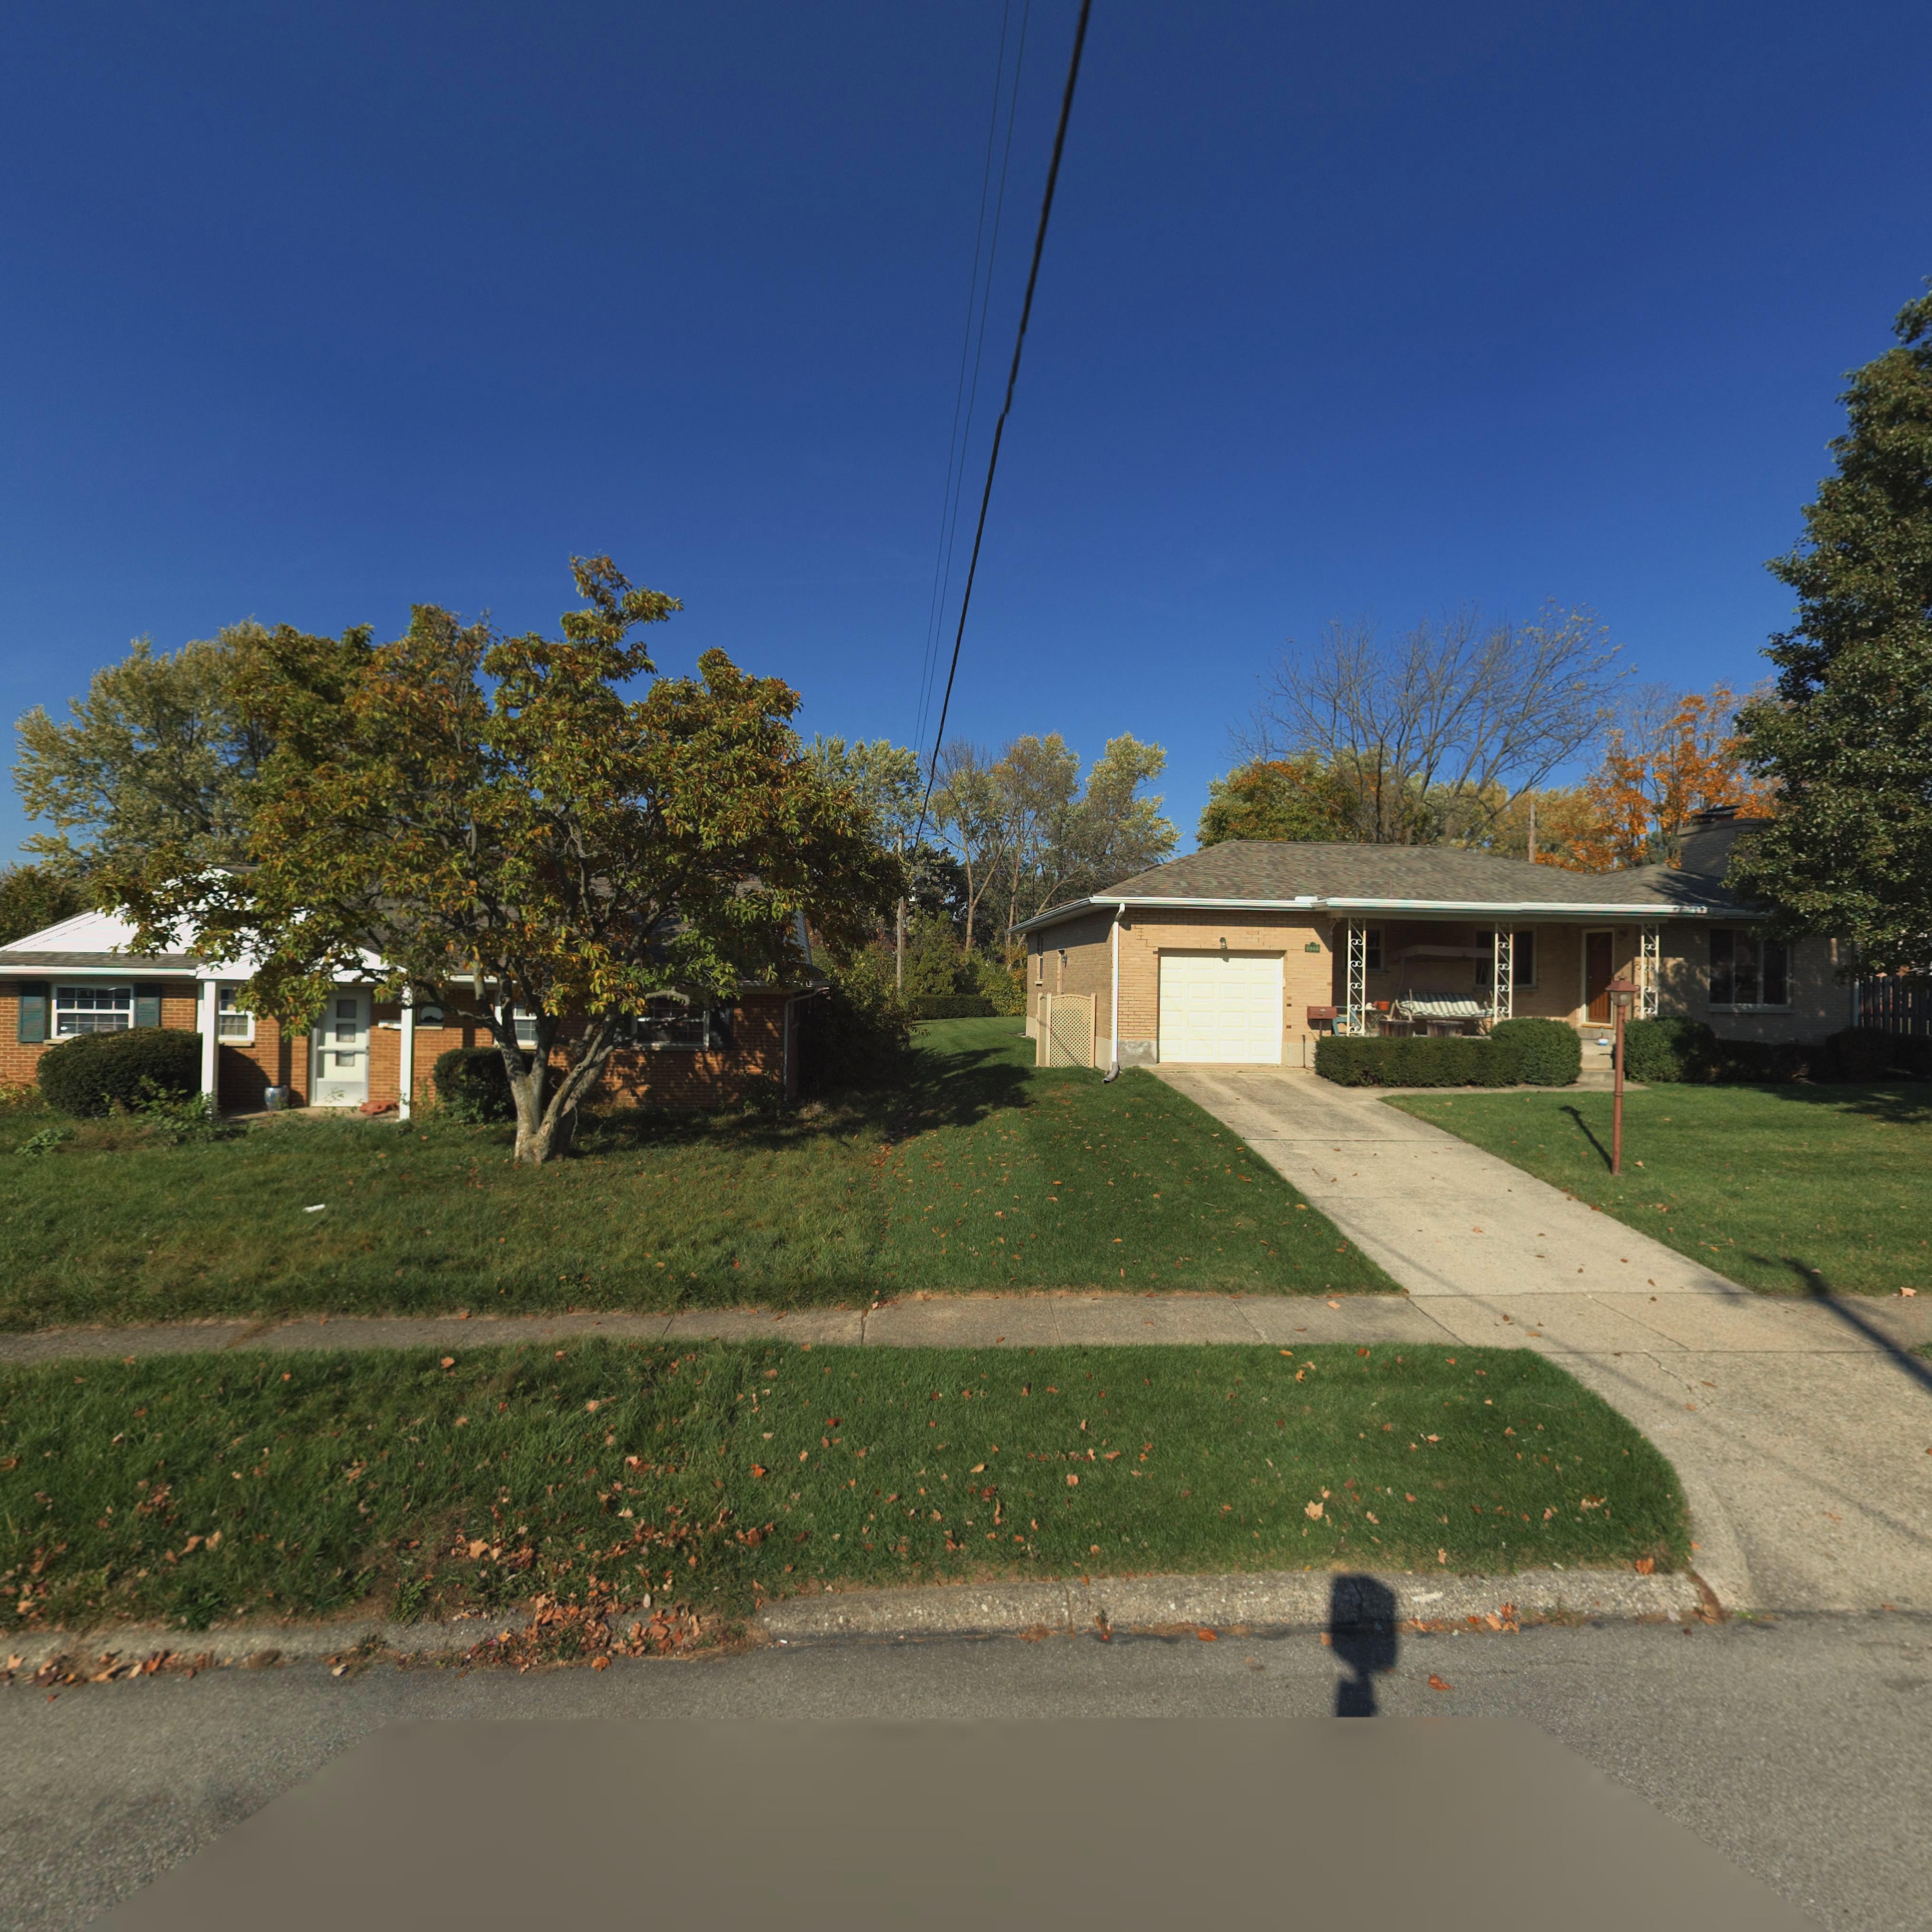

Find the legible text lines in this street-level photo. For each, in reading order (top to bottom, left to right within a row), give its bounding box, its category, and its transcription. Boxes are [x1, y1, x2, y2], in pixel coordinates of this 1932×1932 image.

[1307, 946, 1317, 951] StreetNumber: 639